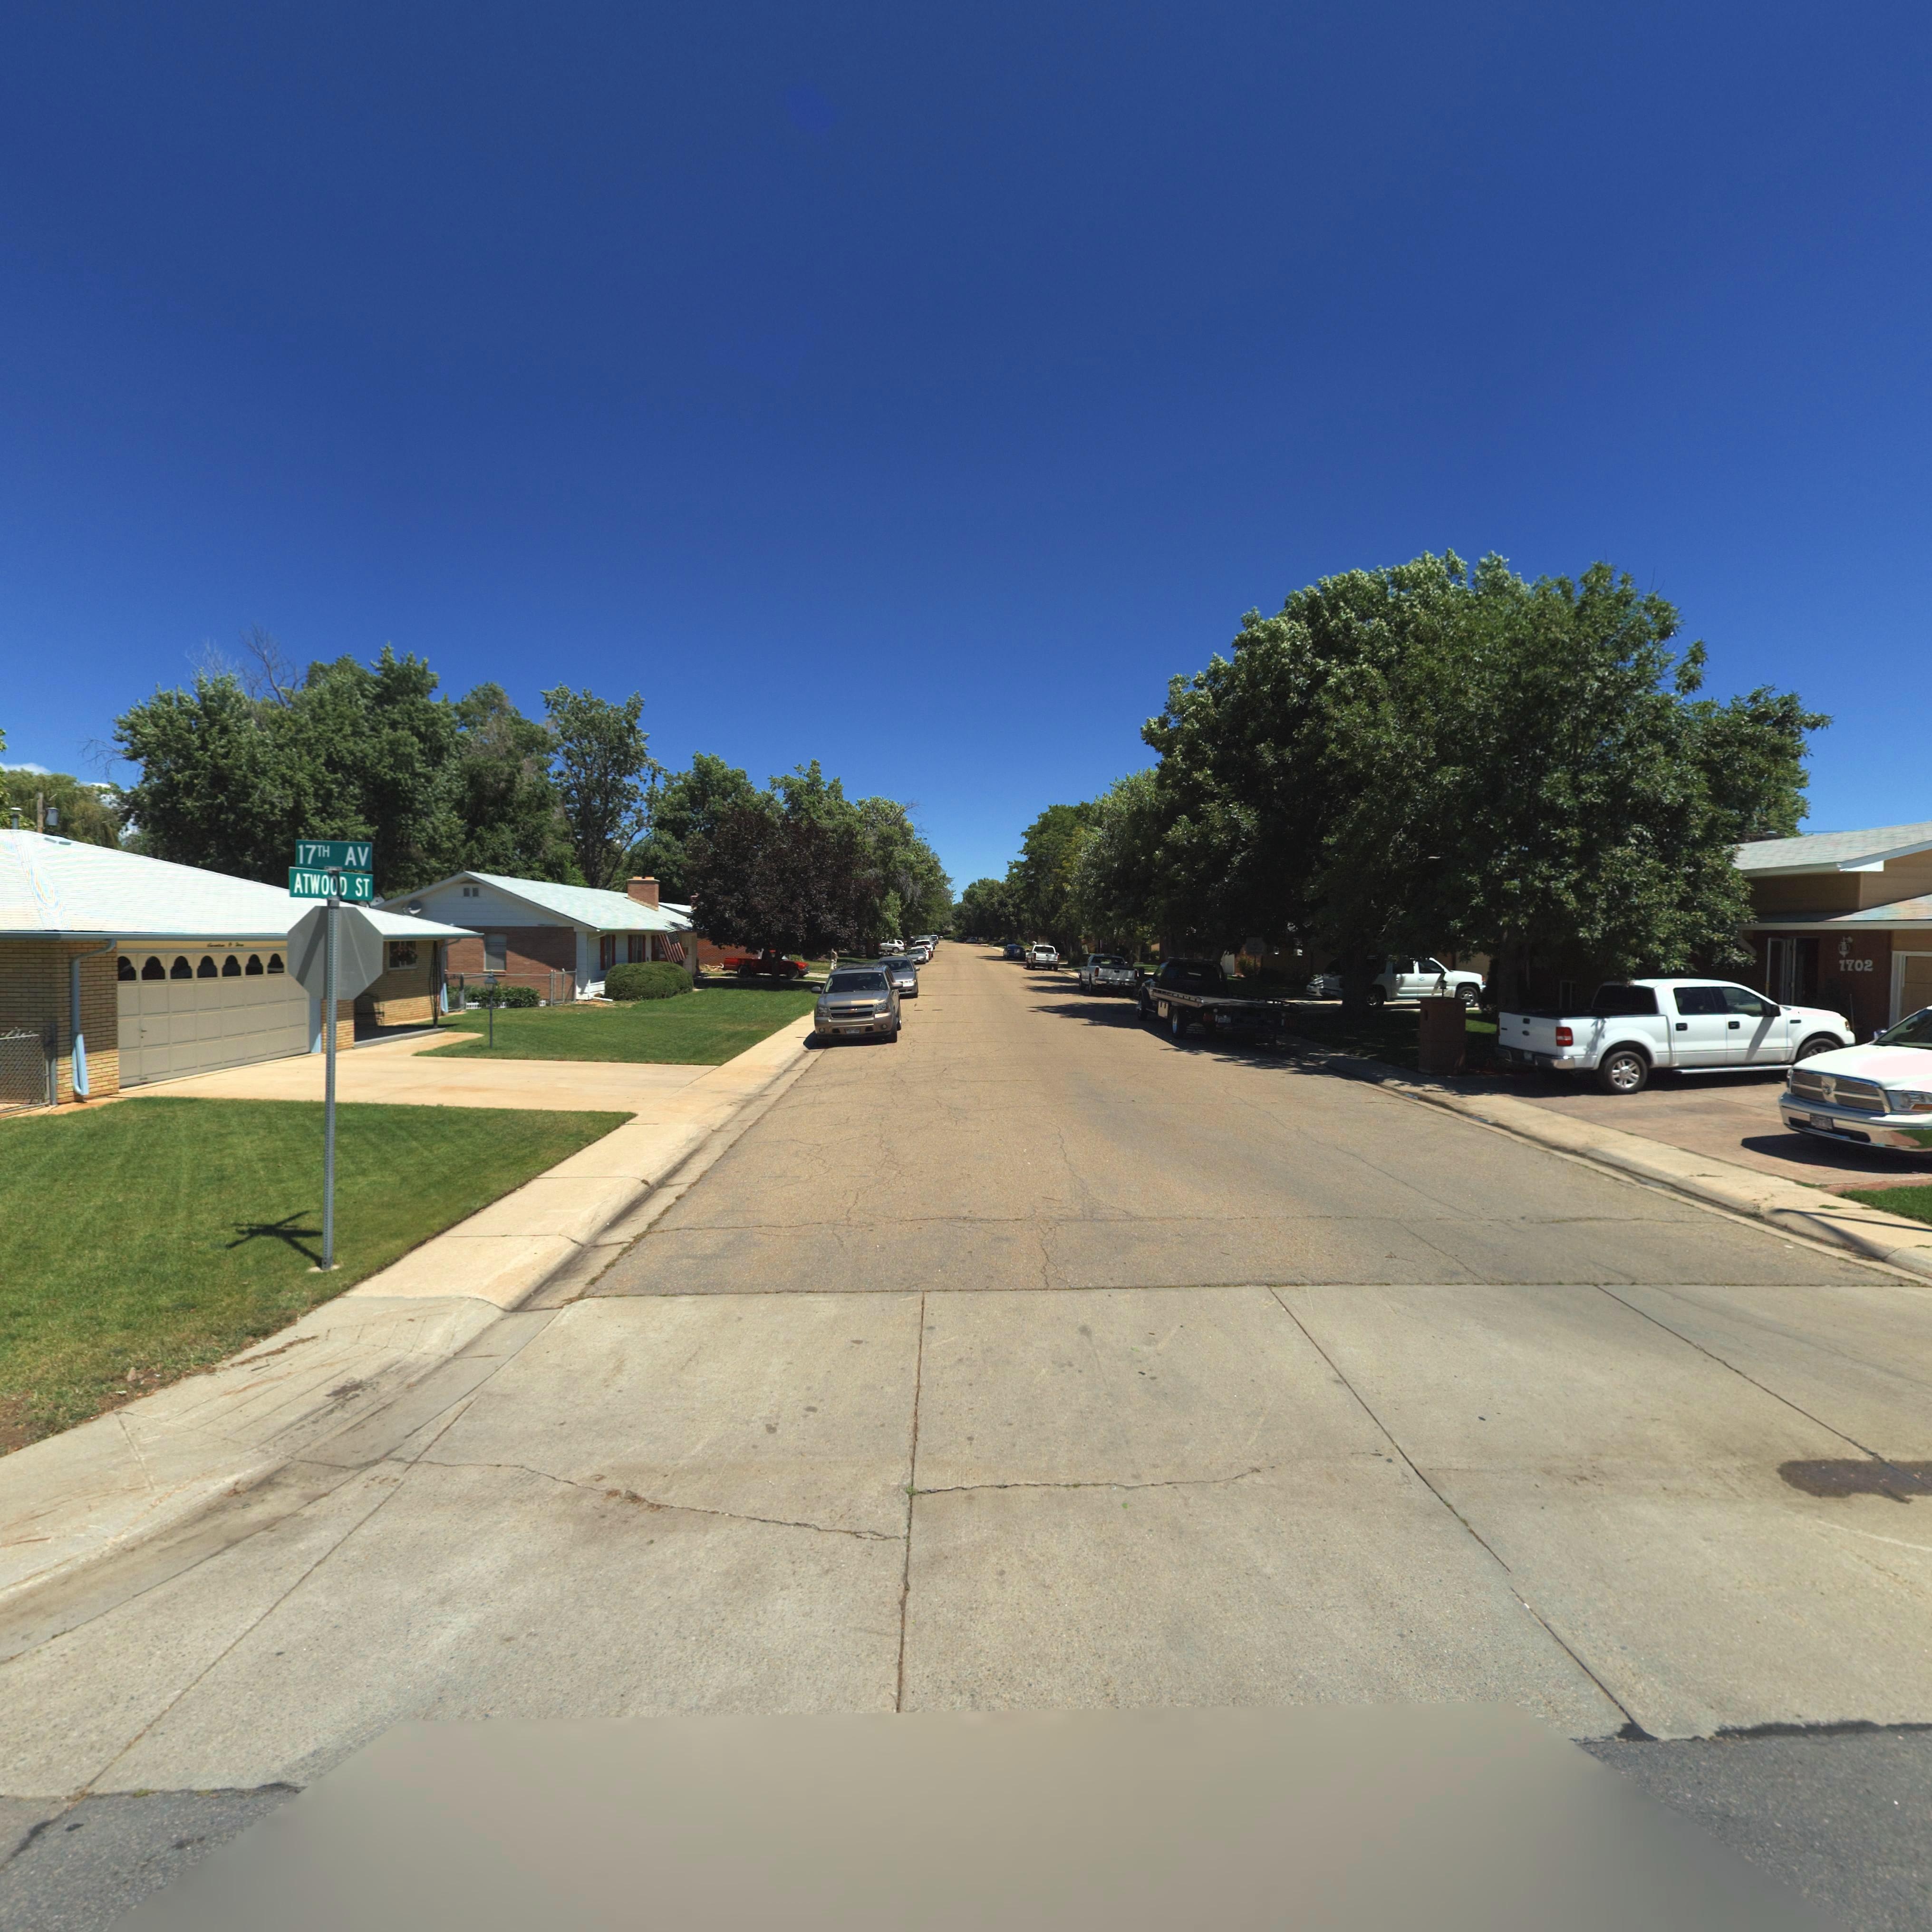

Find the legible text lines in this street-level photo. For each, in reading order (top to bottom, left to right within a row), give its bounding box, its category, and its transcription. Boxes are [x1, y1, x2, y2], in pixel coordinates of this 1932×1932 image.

[298, 844, 369, 867] StreetName: 17TH AV
[294, 872, 370, 897] StreetName: ATWOOD ST
[1839, 959, 1874, 972] StreetNumber: 1702